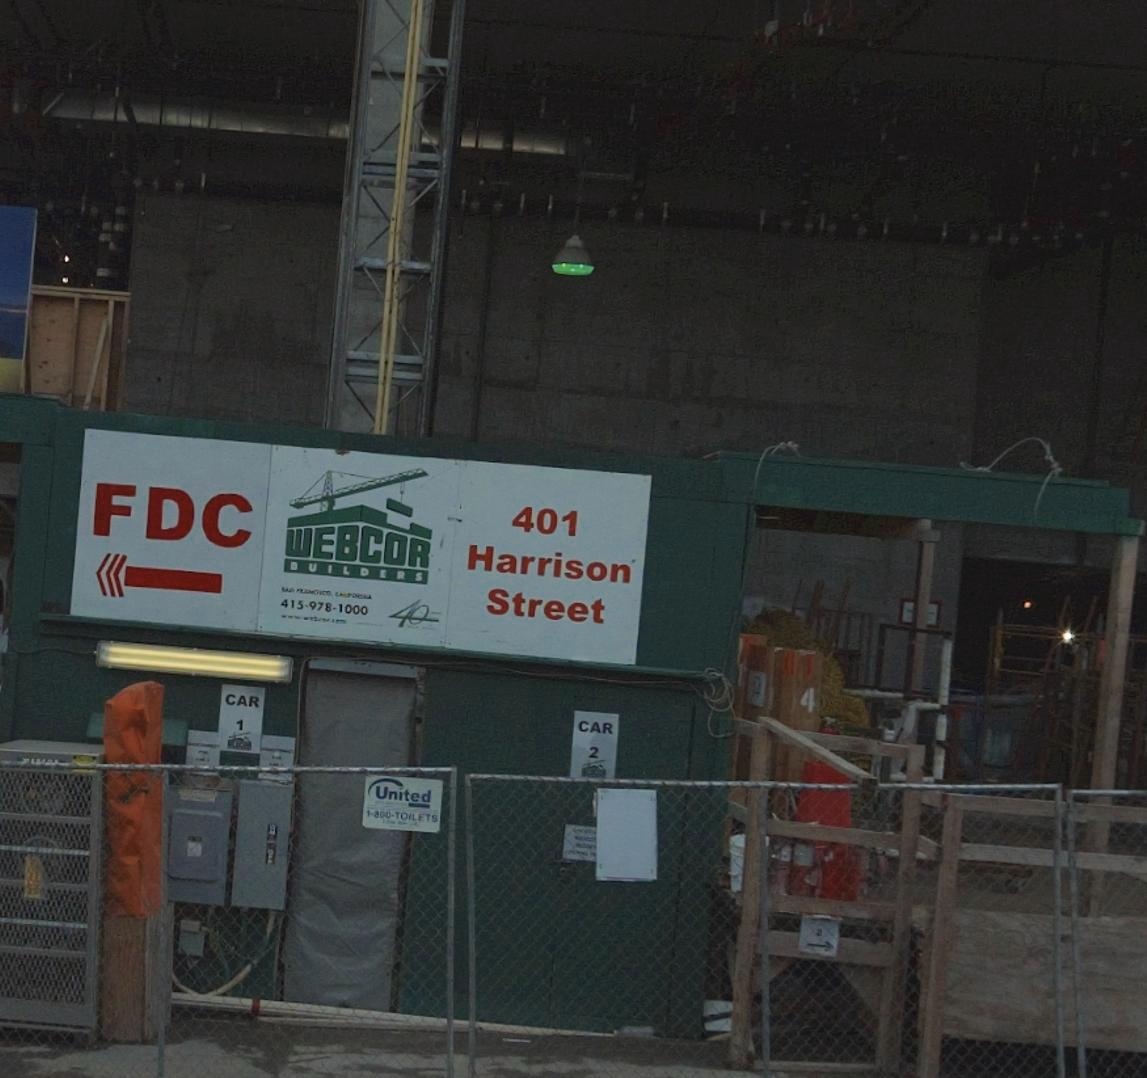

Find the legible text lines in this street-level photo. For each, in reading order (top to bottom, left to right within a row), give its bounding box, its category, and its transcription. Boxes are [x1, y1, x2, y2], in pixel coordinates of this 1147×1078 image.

[92, 481, 255, 550] None: FDC
[510, 505, 579, 538] StreetNumber: 401
[282, 521, 432, 570] None: WEBCOR
[289, 559, 425, 583] None: BUILDERS
[466, 542, 633, 583] StreetName: Harrison
[279, 584, 373, 601] None: SAN FRANCISCO, CALIFORNIA
[278, 597, 371, 616] None: 415-978-1000
[485, 586, 606, 625] StreetName: Street
[223, 692, 261, 708] None: CAR
[796, 685, 817, 714] None: 4
[235, 718, 244, 731] None: 1
[577, 719, 614, 735] None: CAR
[587, 746, 600, 759] None: 2
[374, 784, 432, 803] None: United
[365, 809, 438, 823] None: 1-800-TOILETS